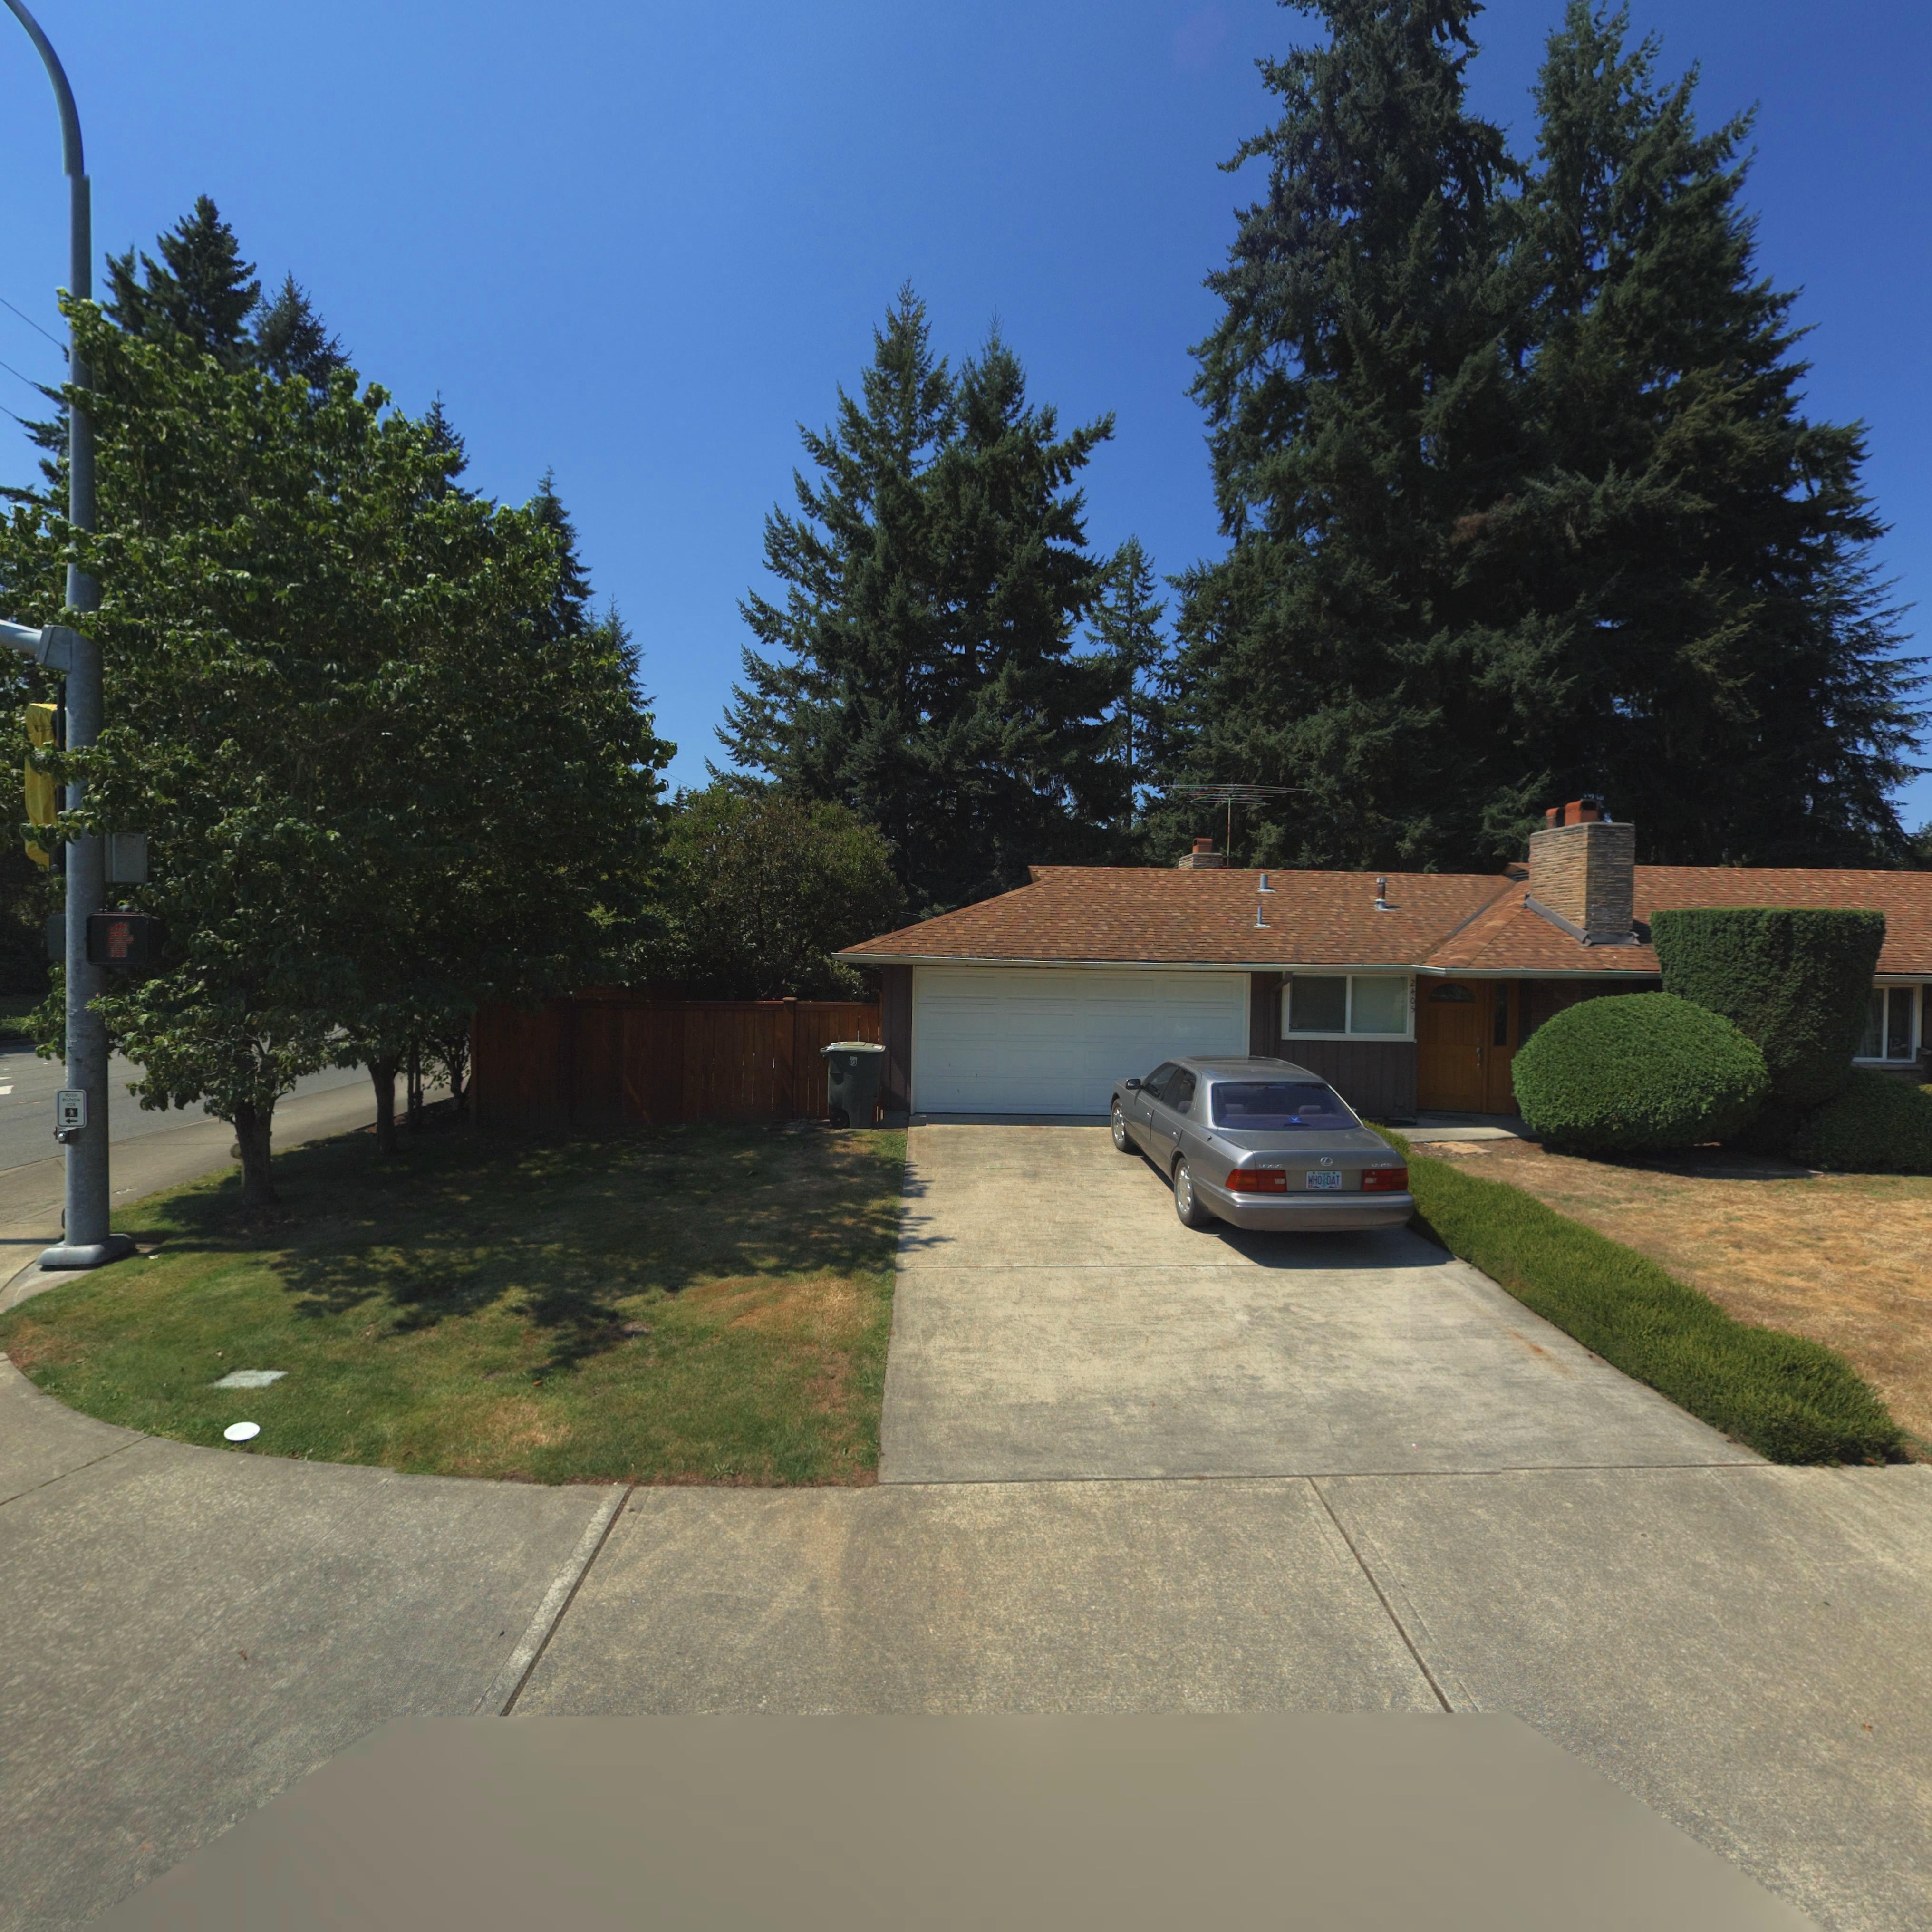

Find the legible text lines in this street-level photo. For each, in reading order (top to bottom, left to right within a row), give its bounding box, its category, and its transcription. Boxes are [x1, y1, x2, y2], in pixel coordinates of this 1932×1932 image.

[1410, 979, 1415, 1013] StreetNumber: 2405